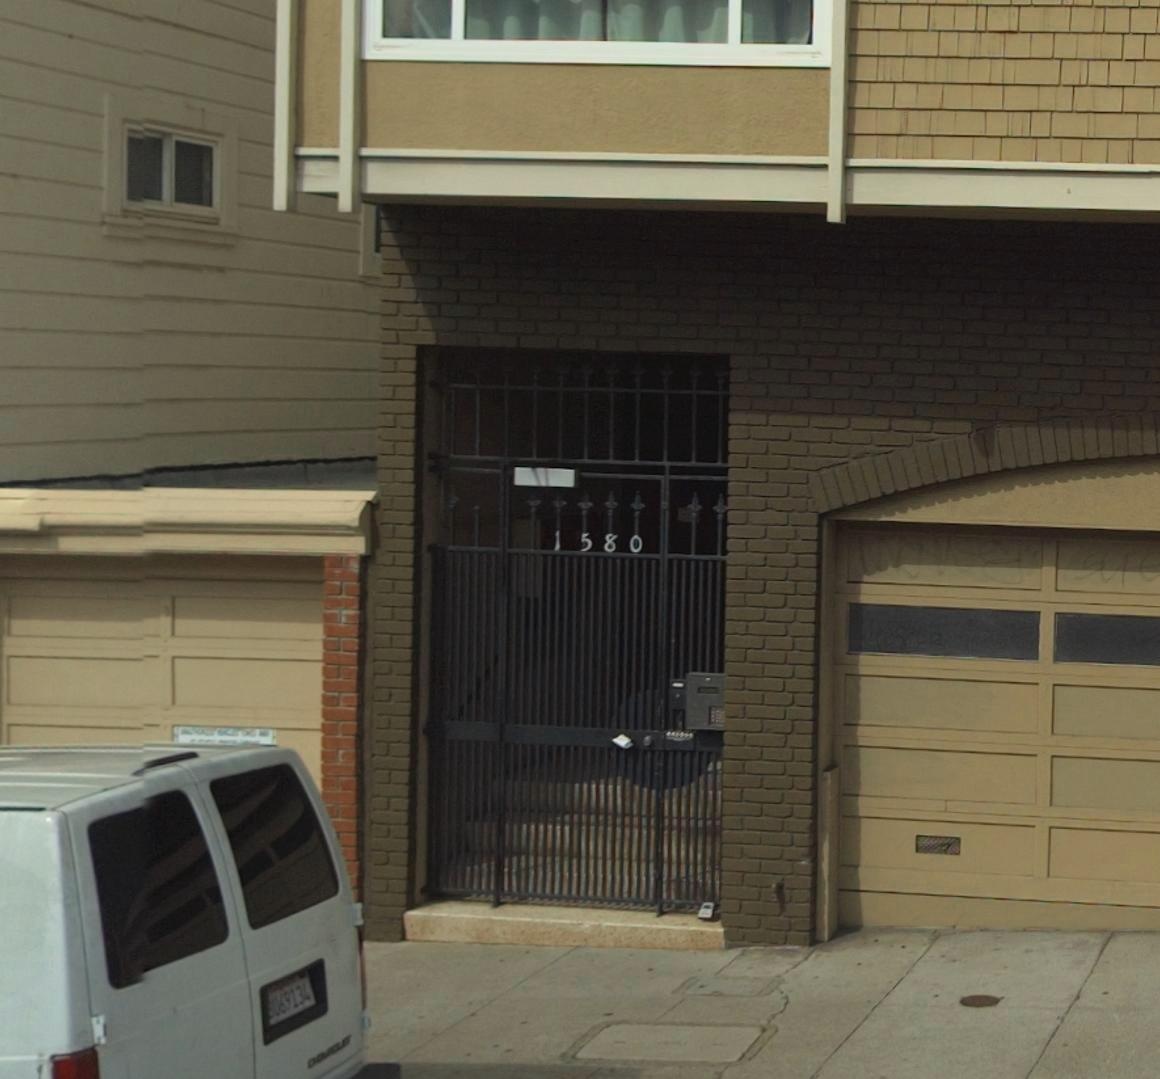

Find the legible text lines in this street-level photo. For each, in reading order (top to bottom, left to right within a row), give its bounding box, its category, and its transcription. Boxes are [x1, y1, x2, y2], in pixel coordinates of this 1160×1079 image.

[553, 530, 644, 554] StreetNumber: 1580
[268, 981, 312, 1023] None: *U69134
[304, 1032, 351, 1071] BusinessName: CHEVROLET